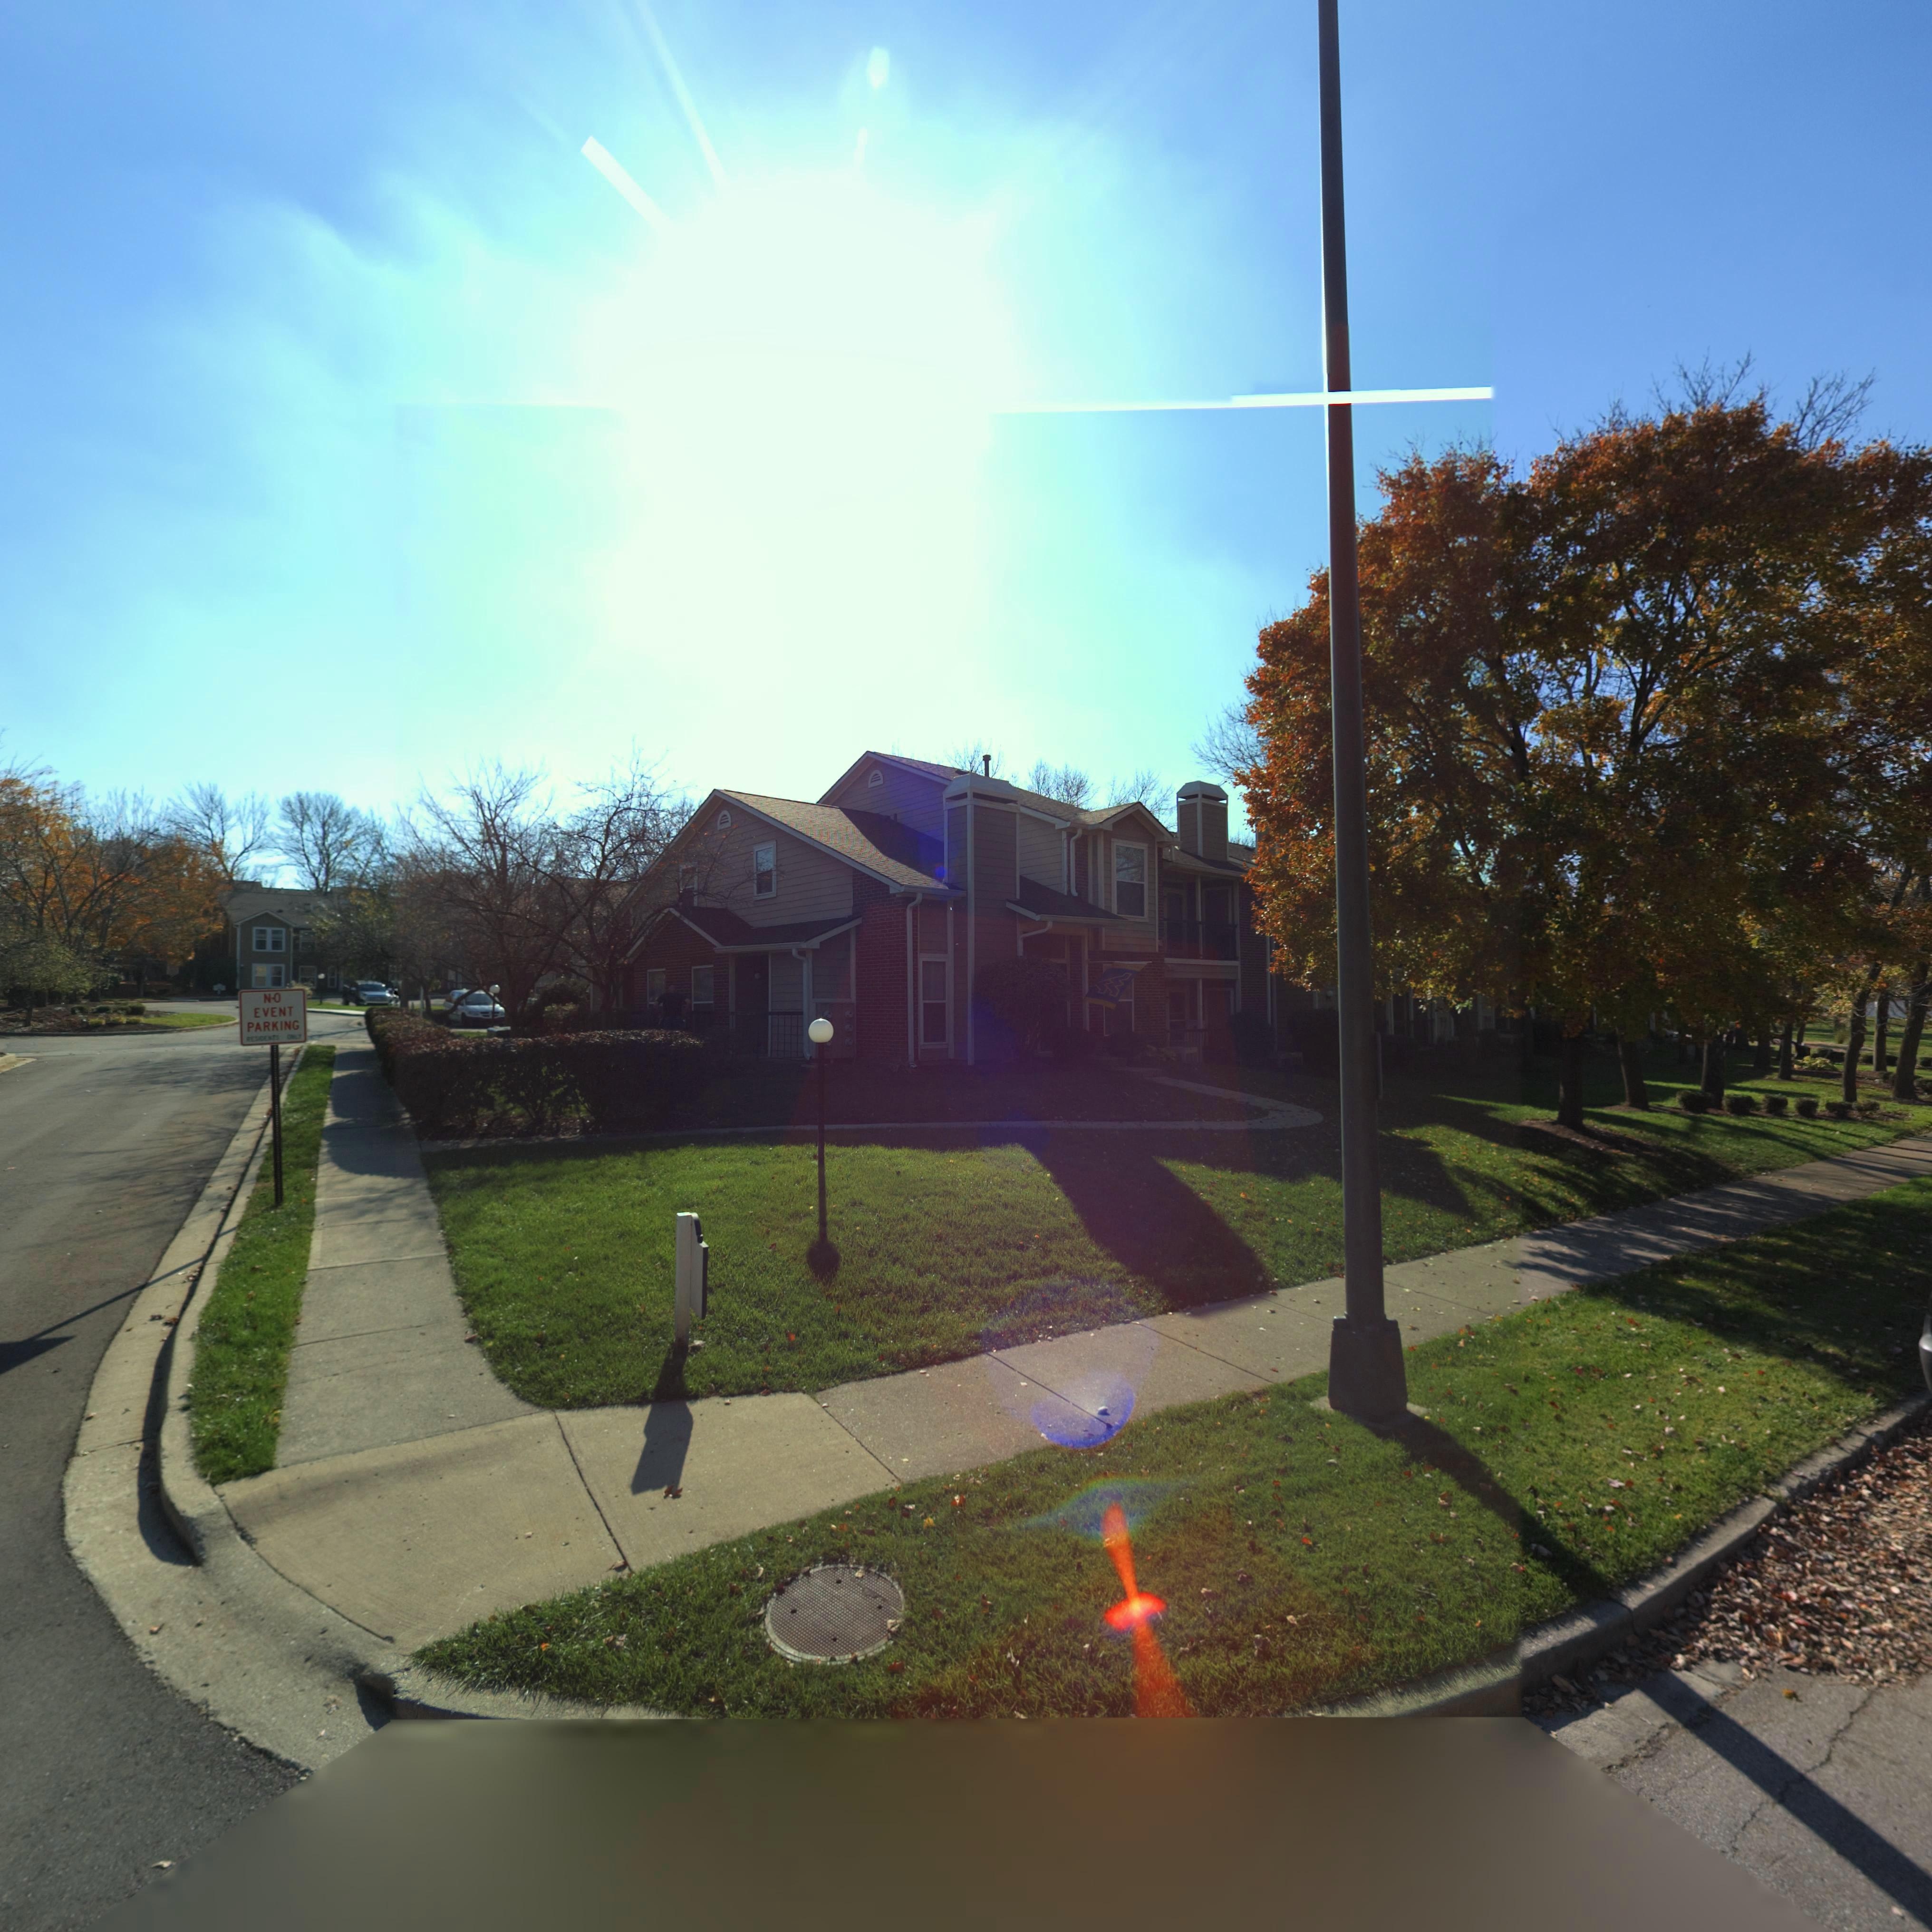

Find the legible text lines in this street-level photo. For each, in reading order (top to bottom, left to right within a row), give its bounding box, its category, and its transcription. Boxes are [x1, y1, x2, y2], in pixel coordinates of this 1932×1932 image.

[263, 992, 281, 1004] None: NO
[254, 1005, 294, 1018] None: EVENT
[247, 1020, 300, 1033] None: PARKING
[245, 1034, 303, 1042] None: RESIDENTS ONLY